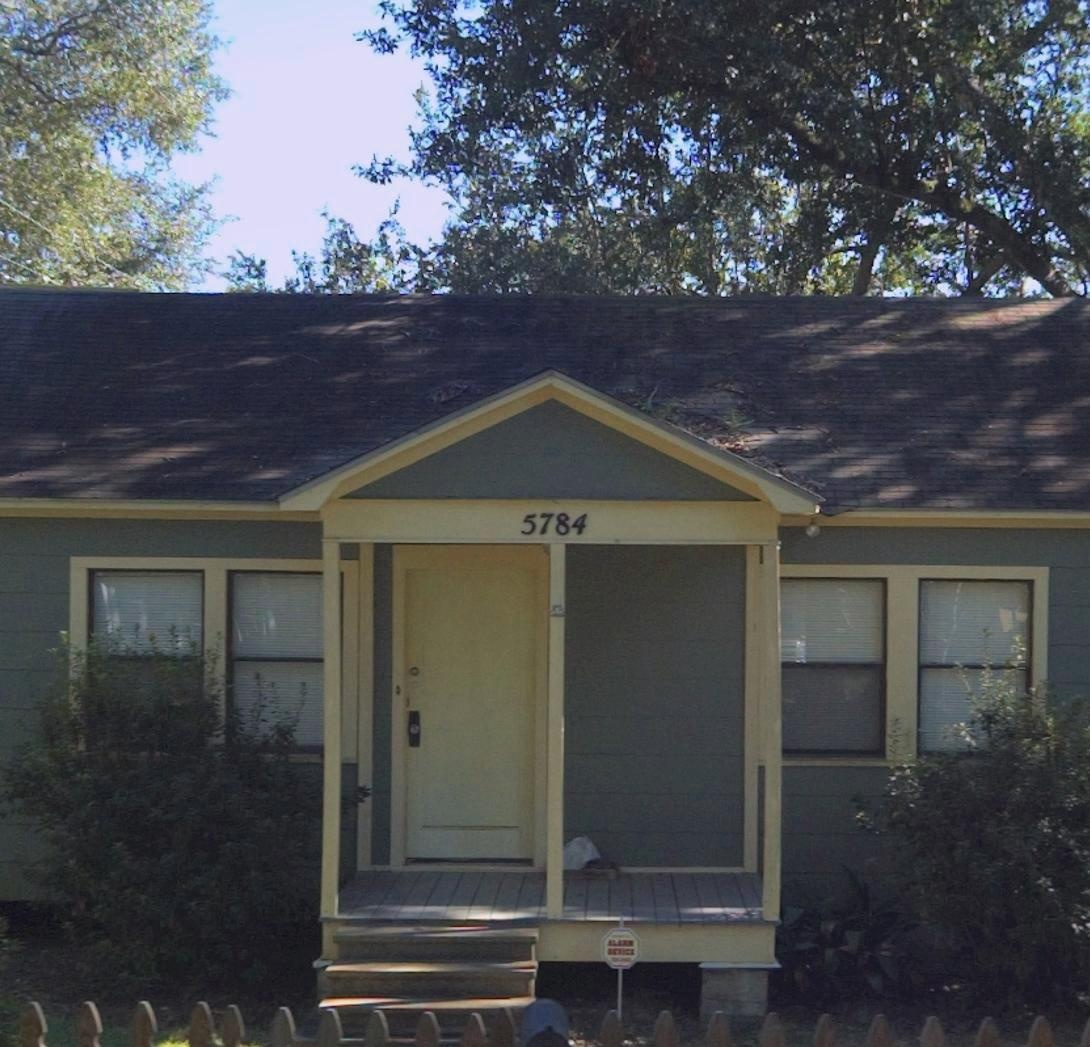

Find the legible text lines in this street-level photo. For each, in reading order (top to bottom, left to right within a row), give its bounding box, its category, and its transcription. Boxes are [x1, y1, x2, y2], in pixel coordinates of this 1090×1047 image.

[520, 512, 589, 537] StreetNumber: 5784
[607, 939, 635, 946] None: ALARM
[606, 948, 635, 956] None: DEVICE